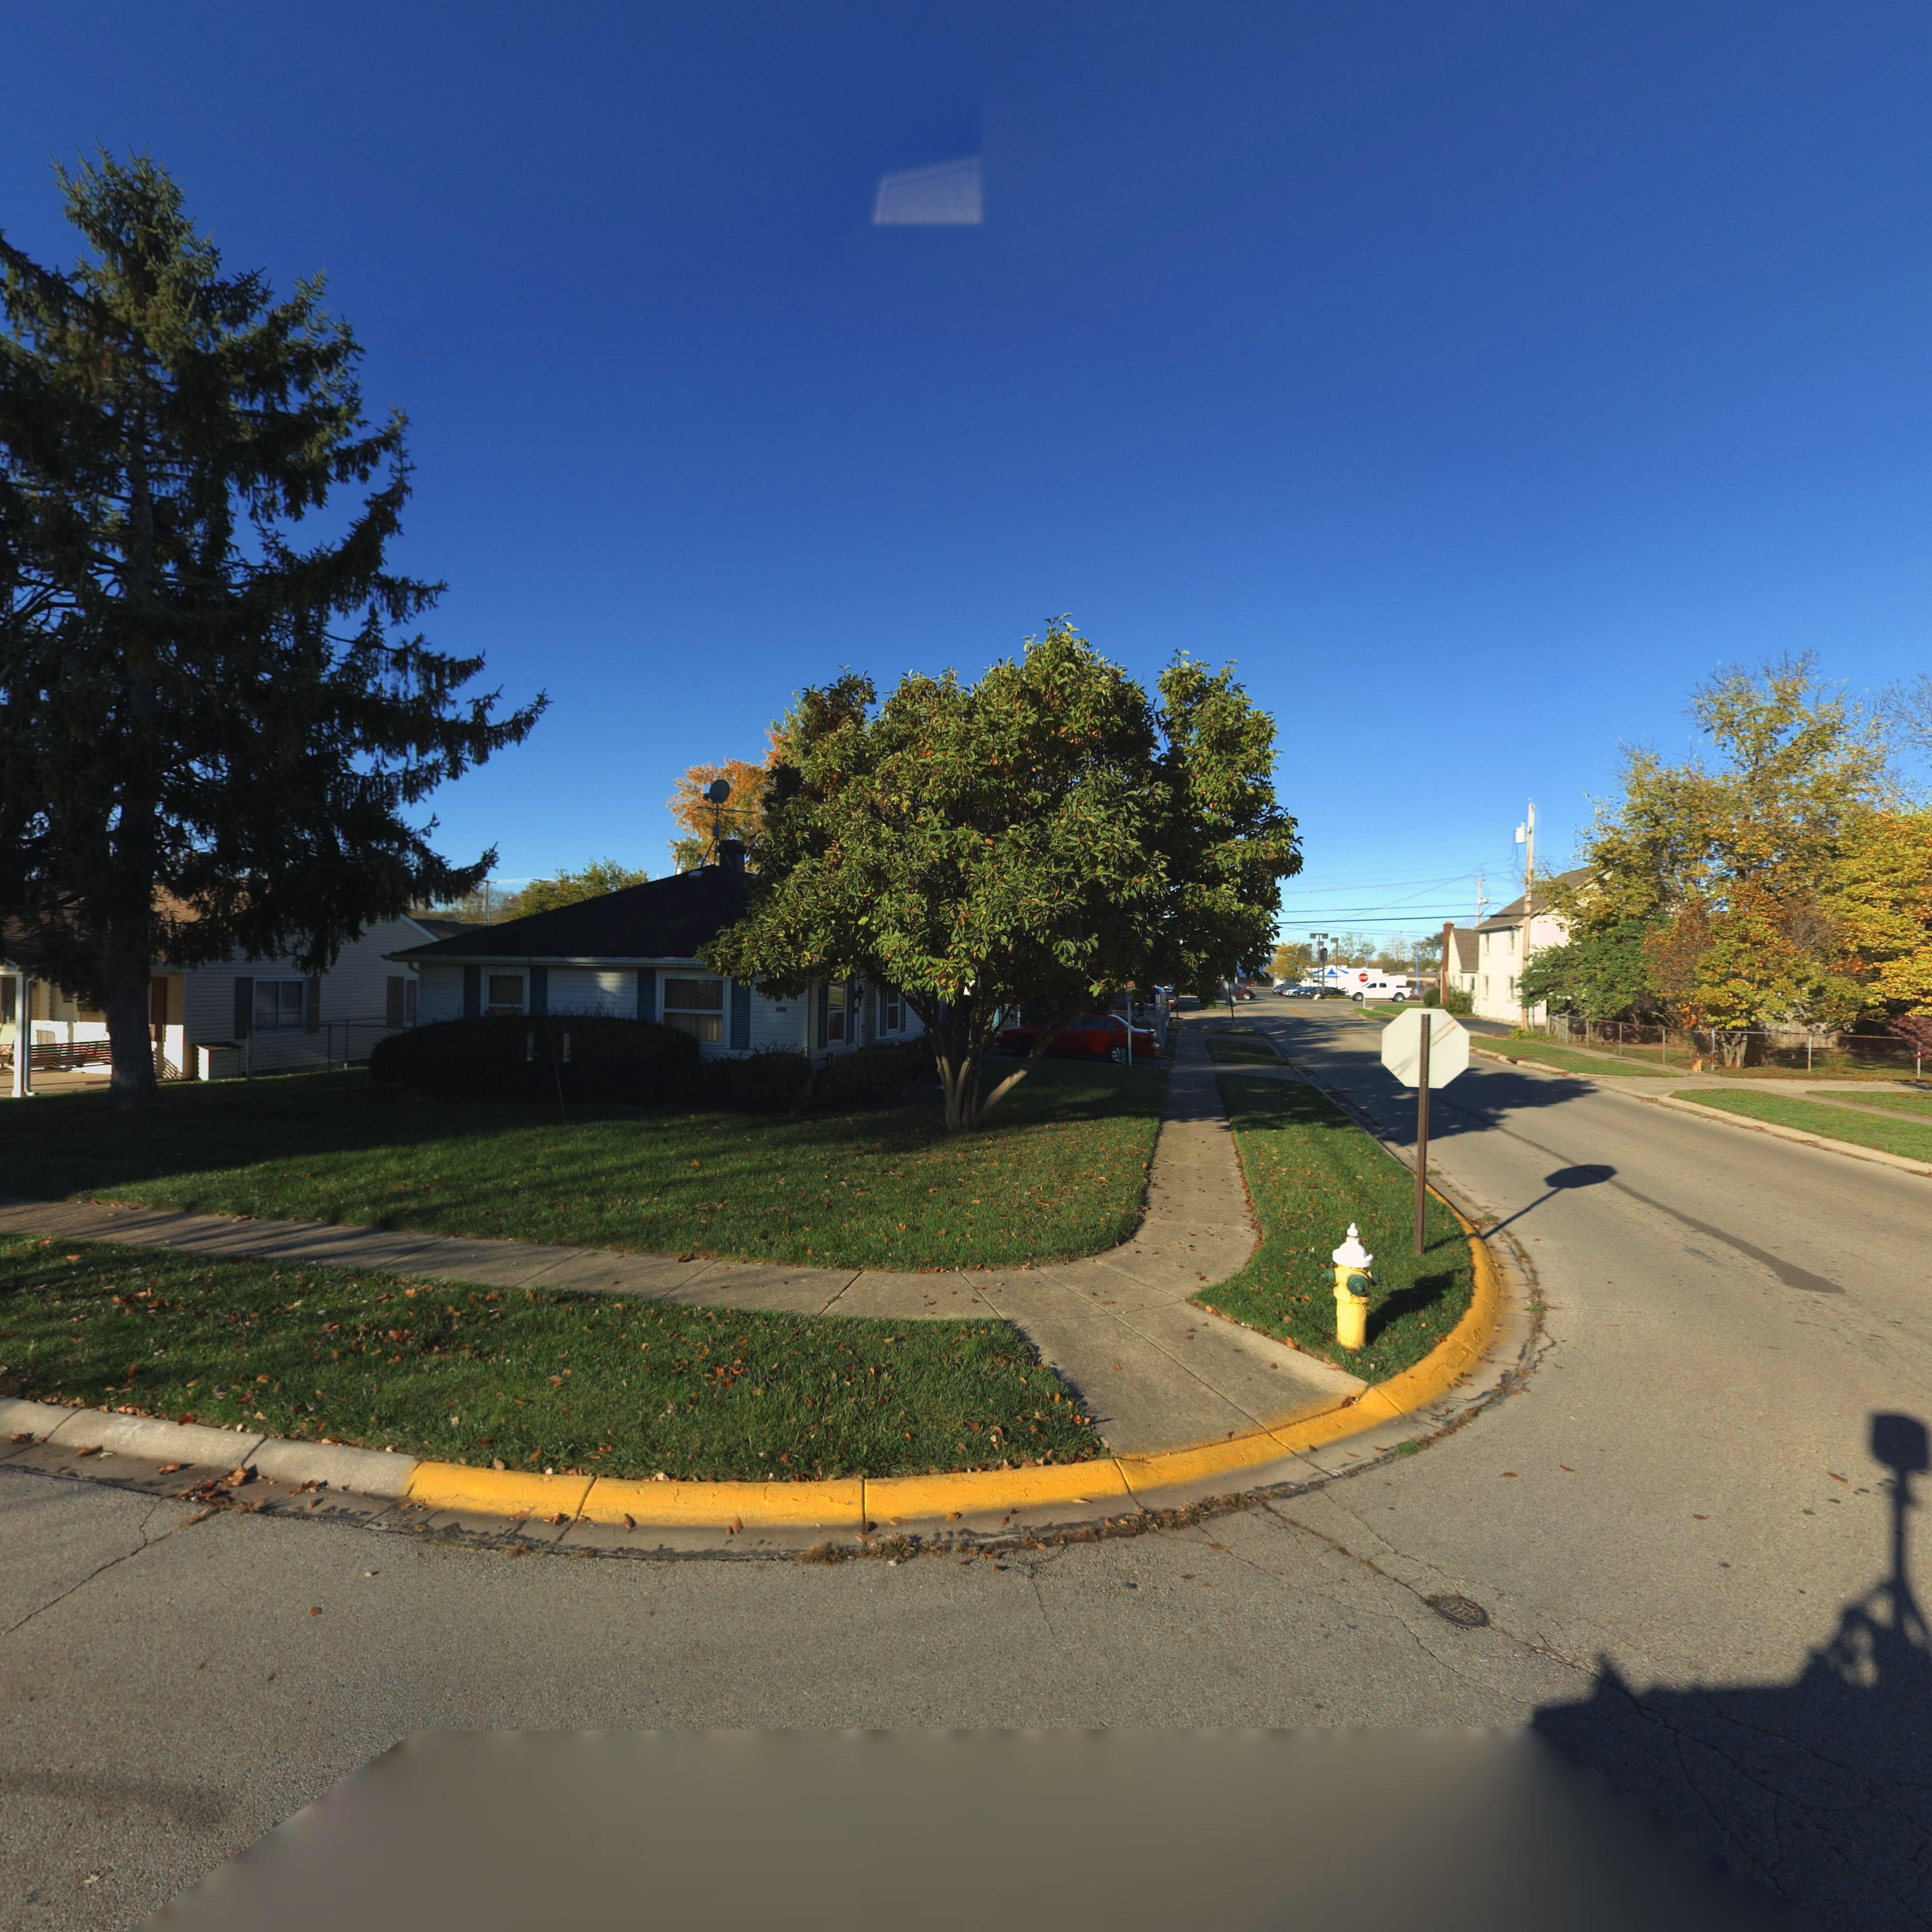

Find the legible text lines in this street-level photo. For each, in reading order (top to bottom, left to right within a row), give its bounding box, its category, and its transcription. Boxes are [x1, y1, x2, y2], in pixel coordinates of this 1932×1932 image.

[776, 1007, 787, 1013] StreetNumber: 5101
[1122, 1049, 1126, 1065] StreetNumber: 5101